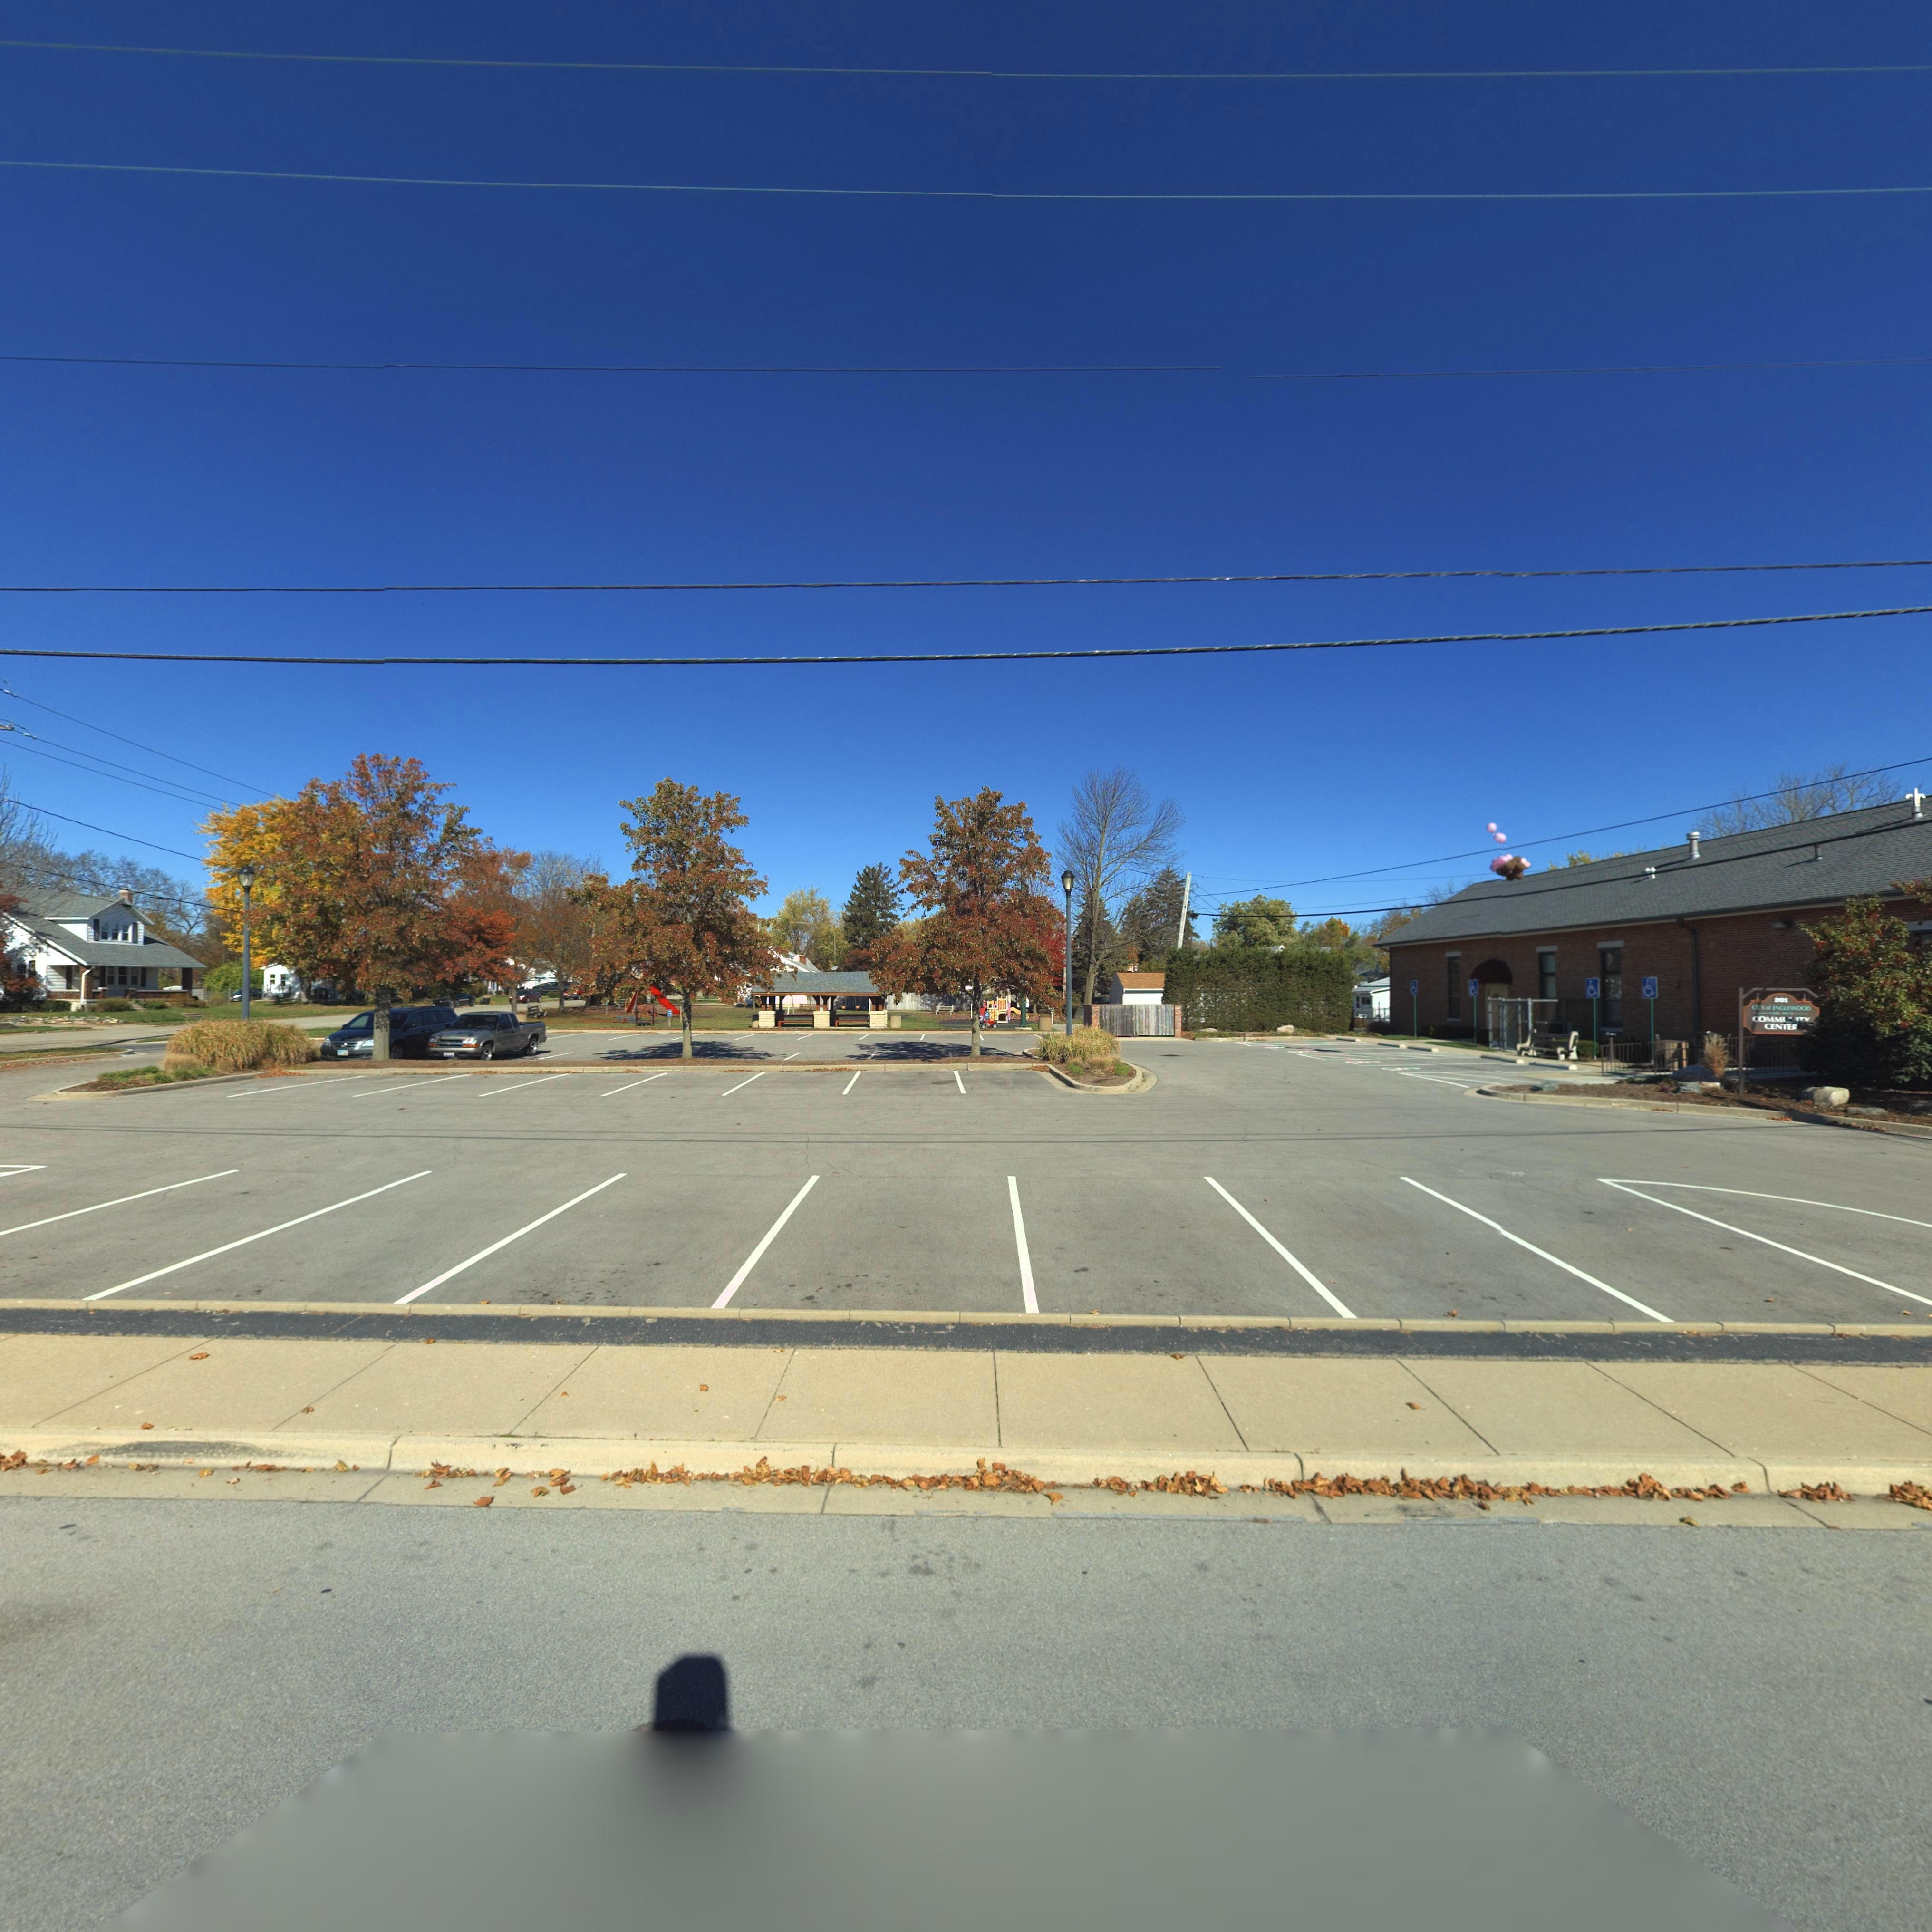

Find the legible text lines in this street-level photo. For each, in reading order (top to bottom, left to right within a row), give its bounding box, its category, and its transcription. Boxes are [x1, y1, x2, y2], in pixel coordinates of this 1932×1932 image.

[1774, 997, 1788, 1003] StreetNumber: *01
[1772, 1005, 1812, 1012] None: ENGLEWOOD
[1751, 1015, 1782, 1024] None: COMM
[1763, 1022, 1793, 1031] None: CENTE